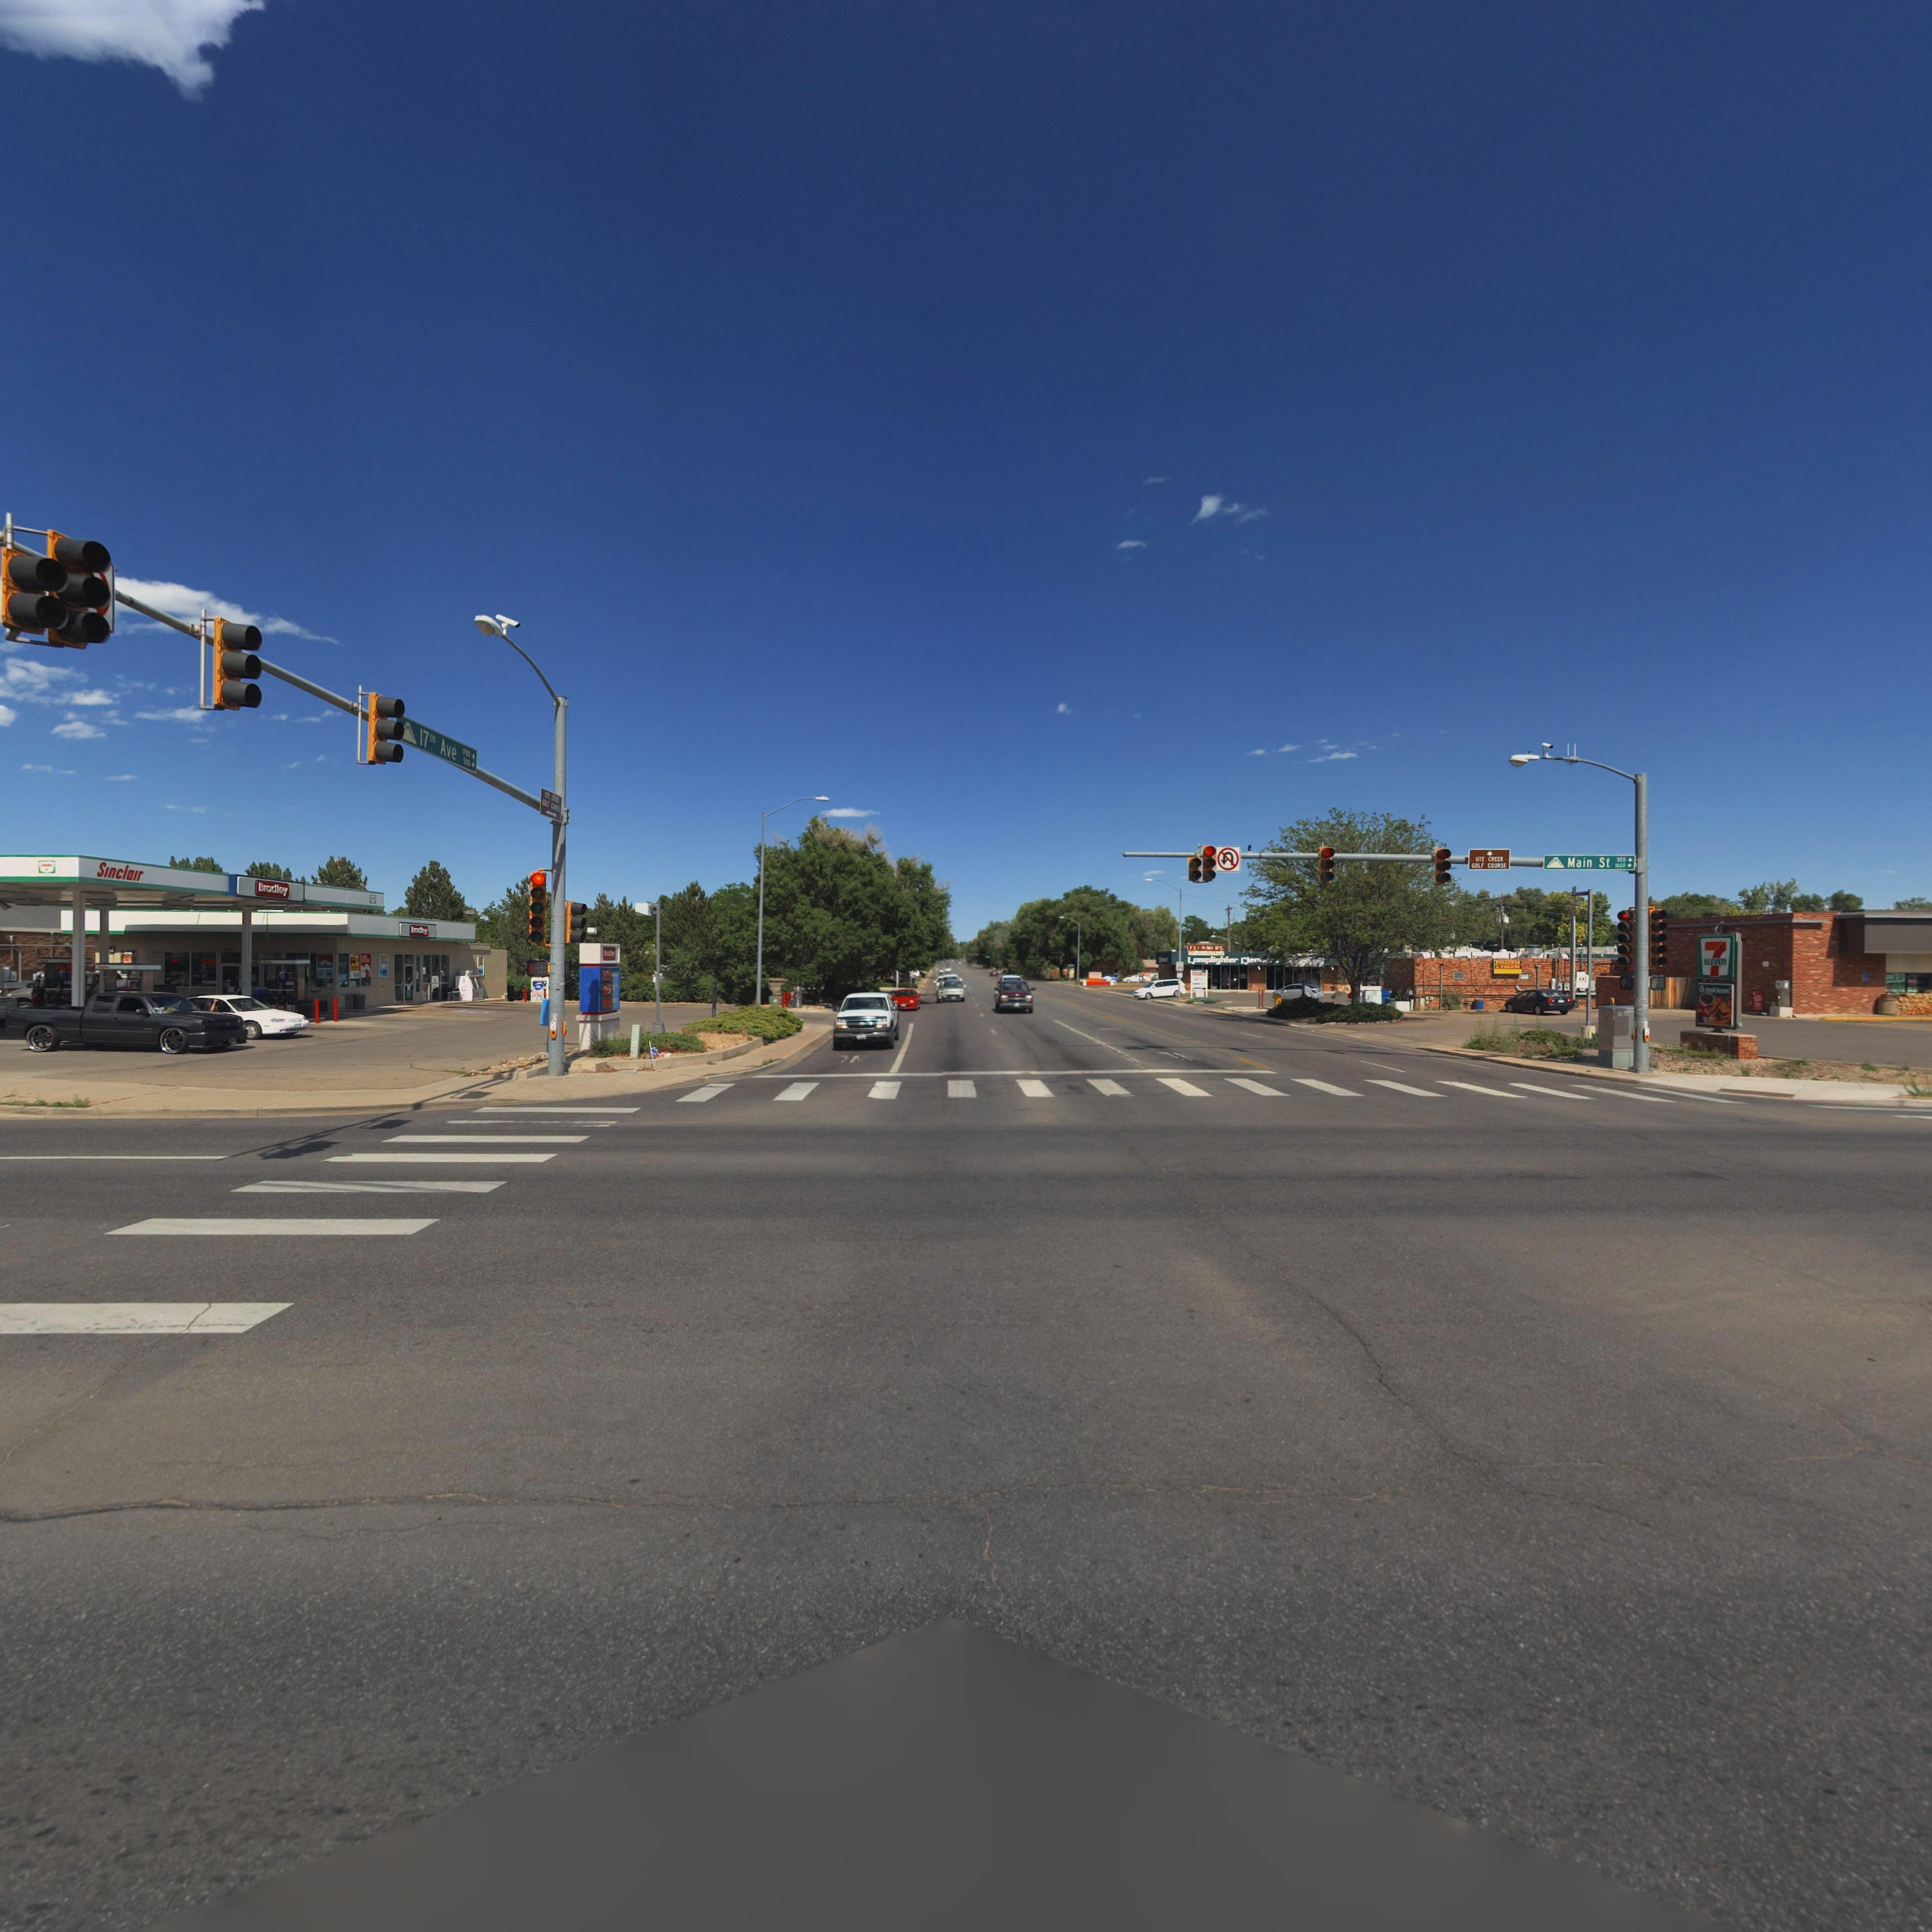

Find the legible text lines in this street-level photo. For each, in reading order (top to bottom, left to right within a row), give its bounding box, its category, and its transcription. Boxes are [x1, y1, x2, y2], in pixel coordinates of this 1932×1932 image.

[418, 727, 457, 761] StreetName: 17th Ave
[462, 747, 471, 758] StreetNumberRange: 1700
[462, 756, 475, 769] StreetNumberRange: 500 ->
[40, 862, 52, 867] BusinessName: ***c***r
[1566, 857, 1611, 868] StreetName: Main St
[1616, 857, 1626, 862] StreetNumberRange: 500
[1615, 862, 1633, 868] StreetNumberRange: 1600 ->
[96, 860, 145, 881] BusinessName: Sinclair
[258, 882, 289, 897] BusinessName: Bradley
[411, 926, 428, 935] BusinessName: B**d*ey
[223, 947, 235, 952] StreetNumber: 1***
[603, 949, 615, 957] BusinessName: ***d*ey
[262, 960, 272, 964] BusinessName: S******r
[1187, 955, 1280, 966] BusinessName: Lamplighter Clea****
[1495, 960, 1521, 964] BusinessName: POLLER**
[1703, 958, 1727, 966] BusinessName: ELEVEn
[1704, 940, 1727, 977] BusinessName: 7
[98, 964, 109, 968] BusinessName: S*******
[1495, 964, 1520, 968] BusinessName: l* FOGATA